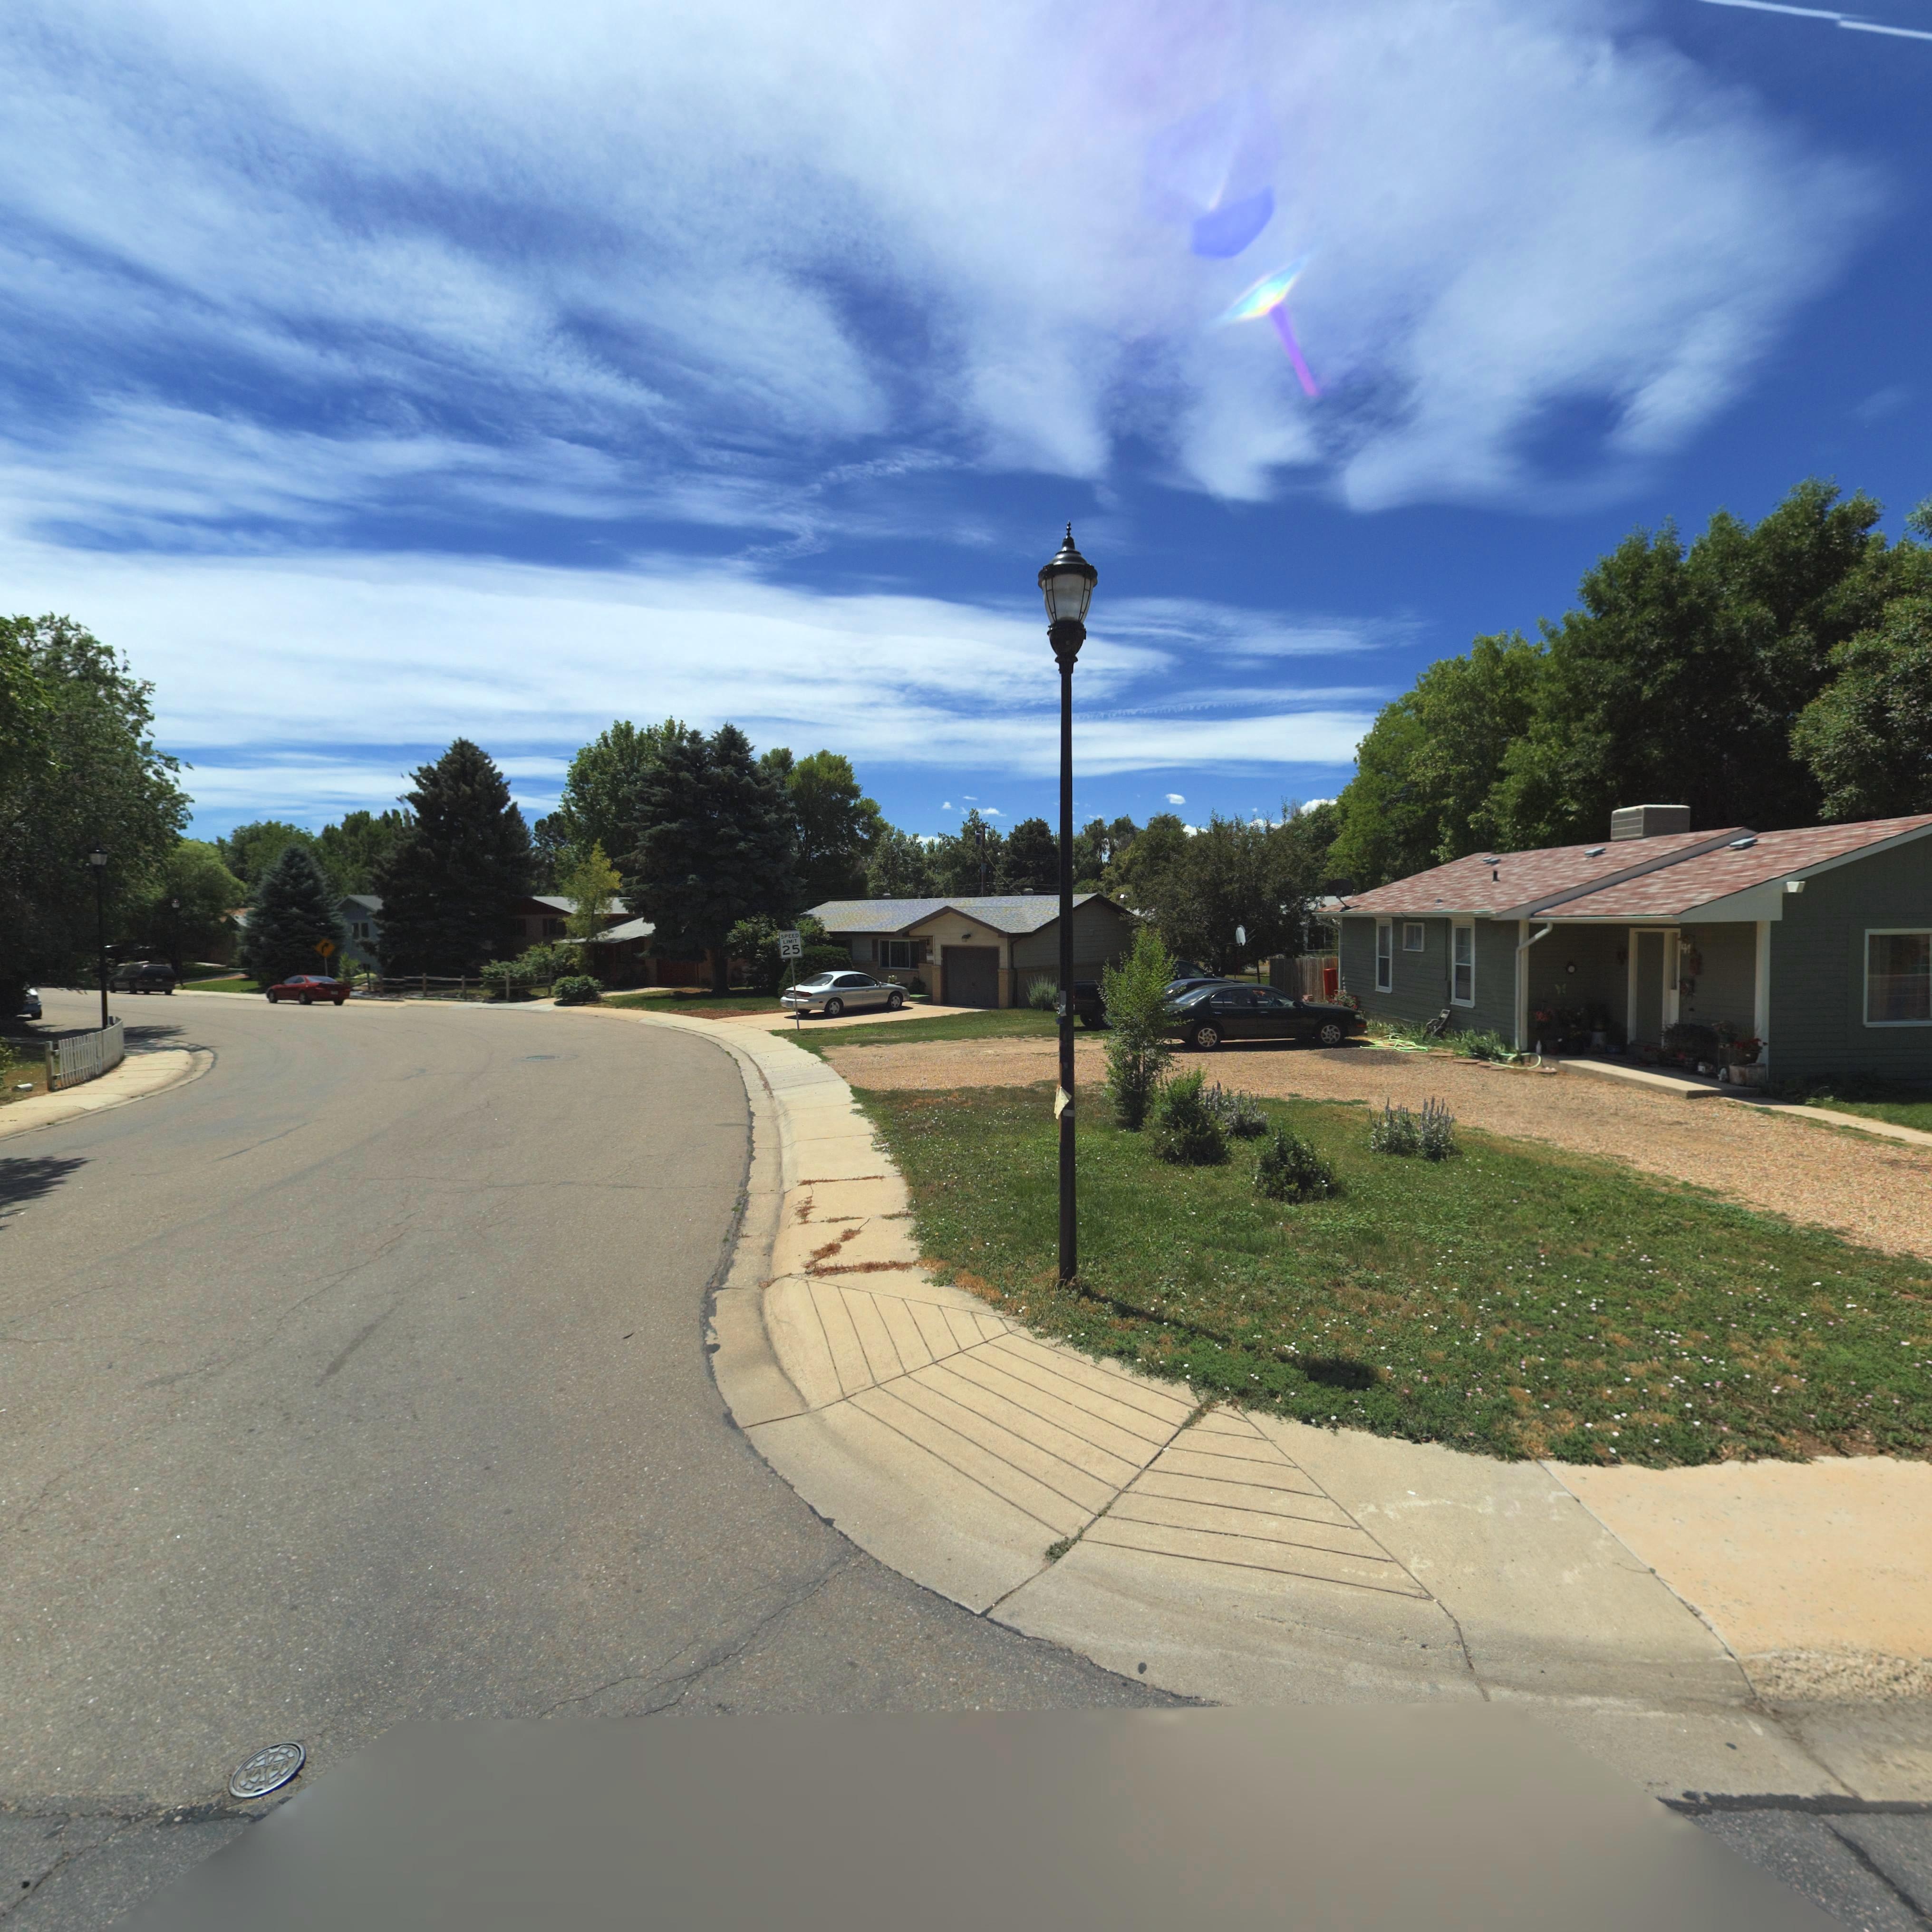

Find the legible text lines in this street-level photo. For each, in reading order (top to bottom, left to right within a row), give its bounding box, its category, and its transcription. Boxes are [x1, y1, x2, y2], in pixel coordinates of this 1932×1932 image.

[1681, 942, 1691, 954] StreetNumber: 41